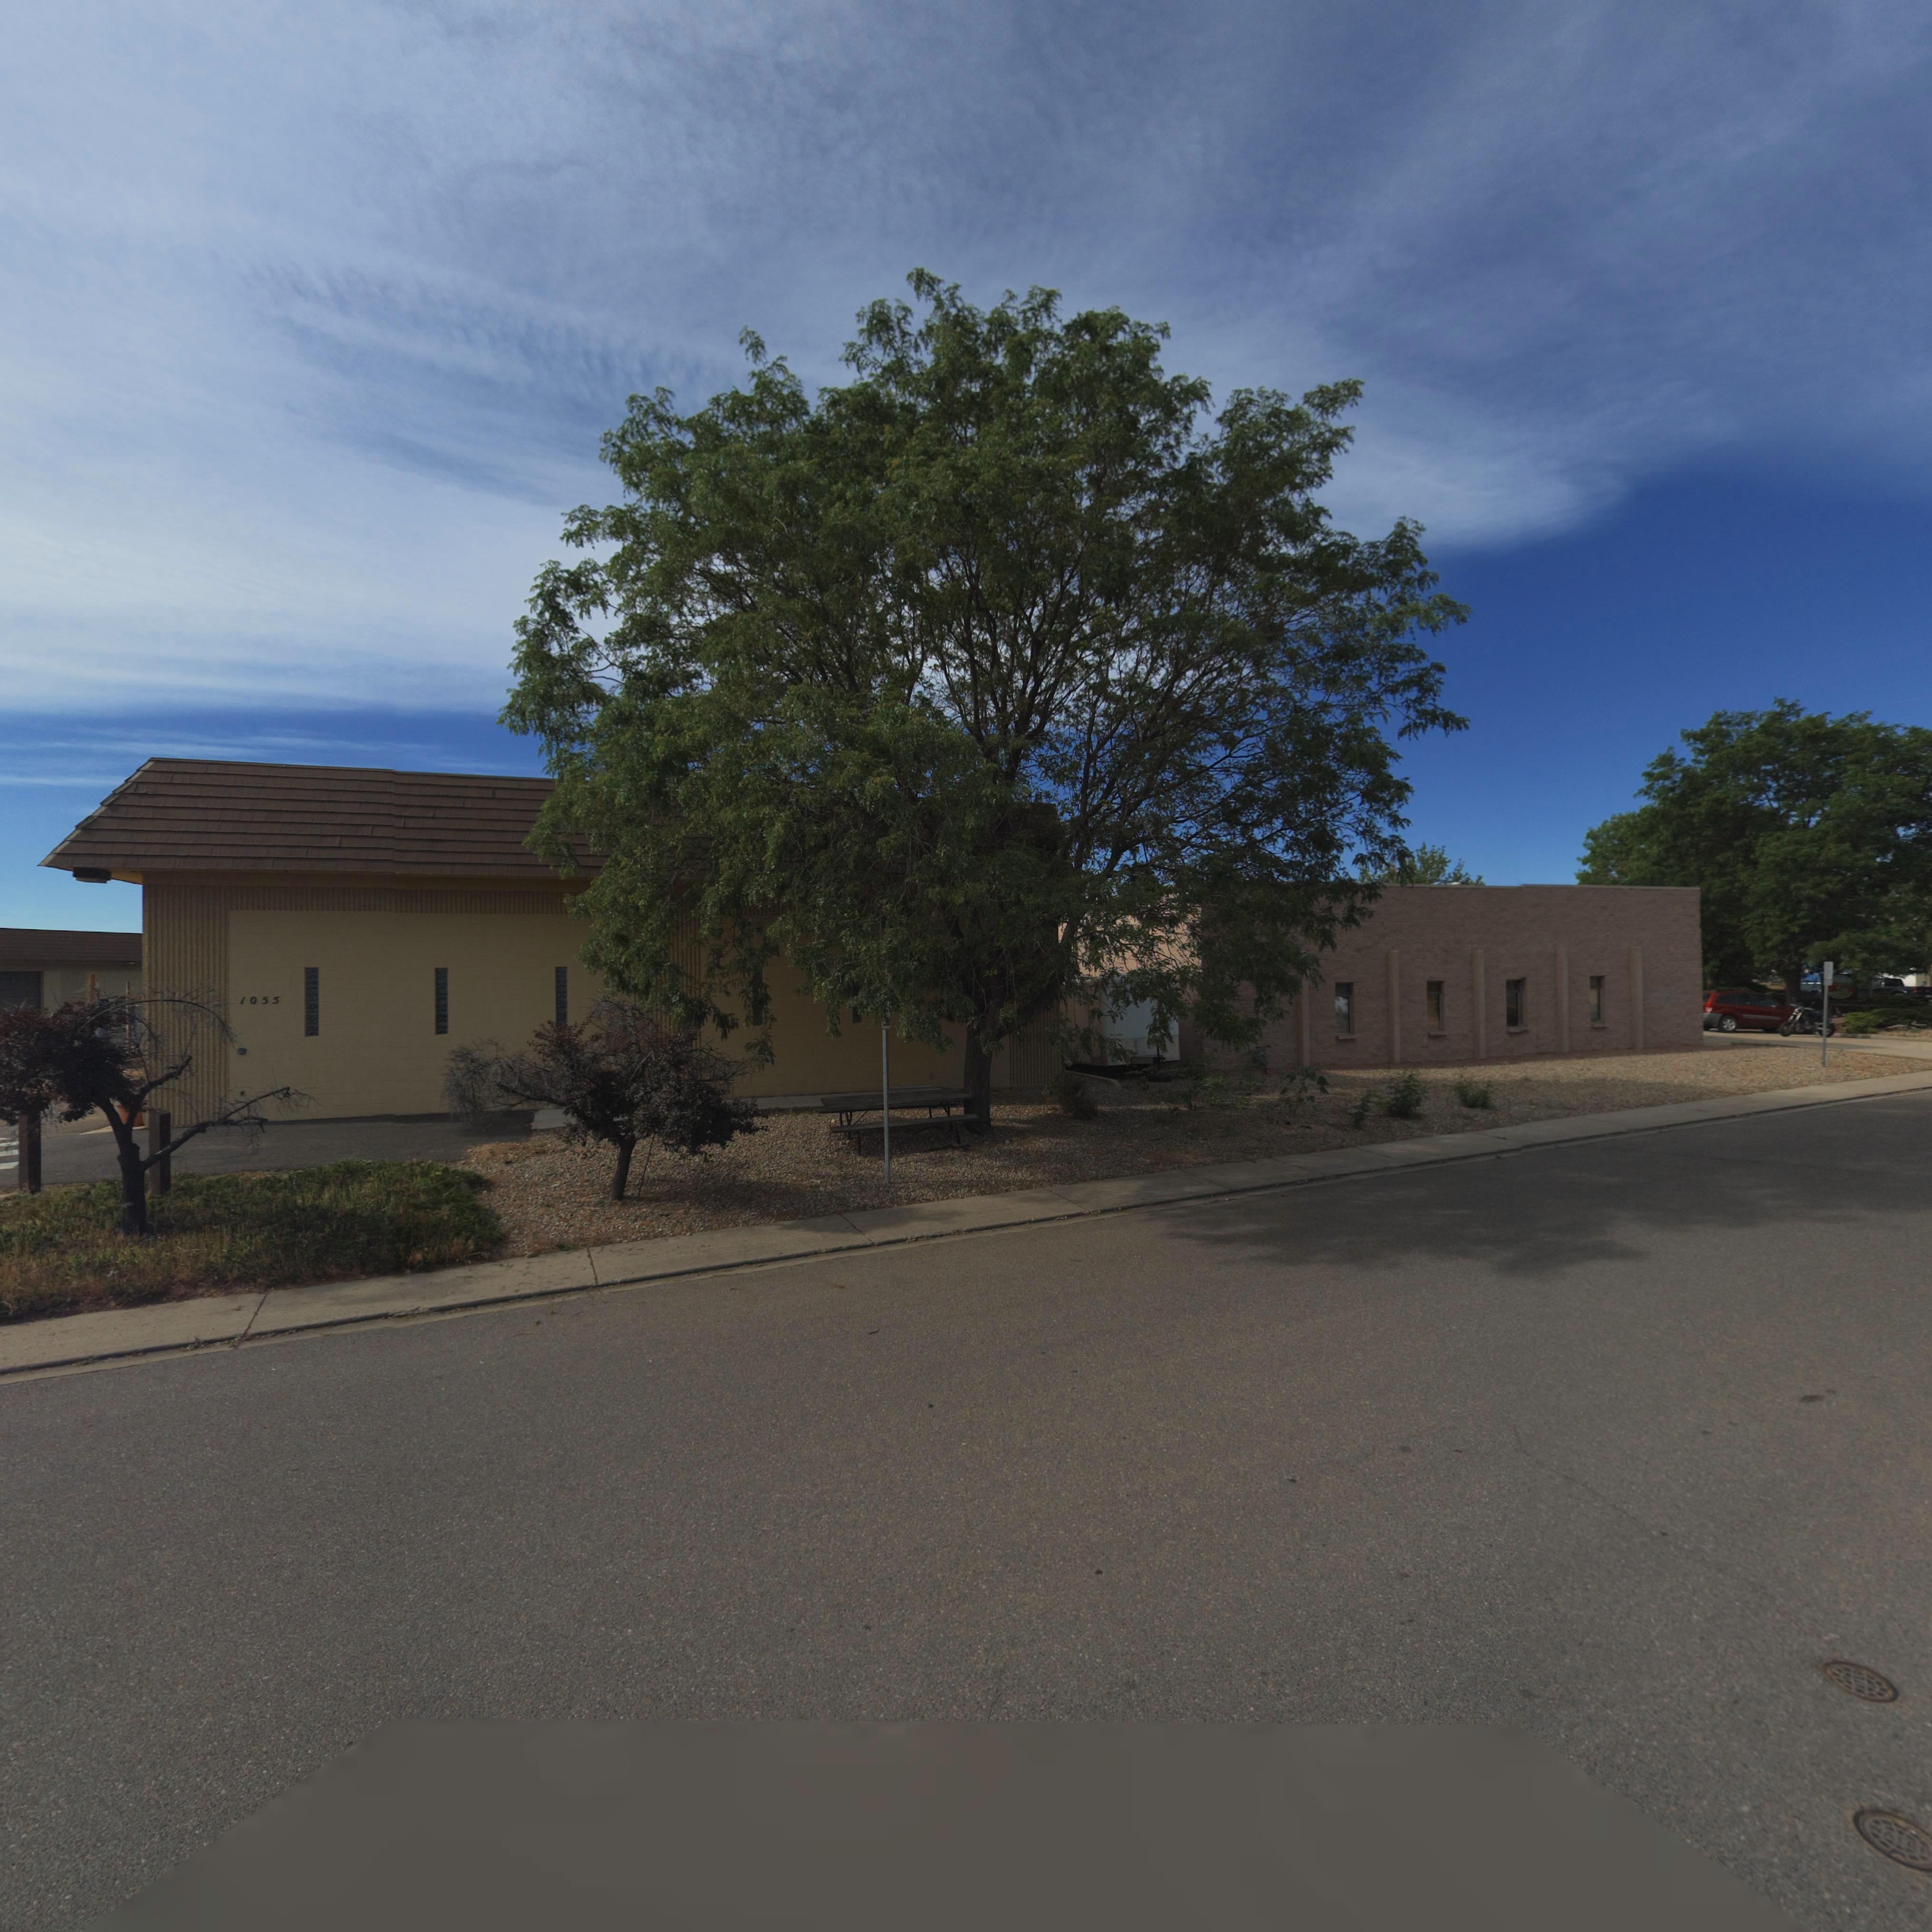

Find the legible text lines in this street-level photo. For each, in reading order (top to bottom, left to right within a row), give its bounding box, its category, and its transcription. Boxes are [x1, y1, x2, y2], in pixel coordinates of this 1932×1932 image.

[240, 996, 279, 1005] StreetNumber: 1055